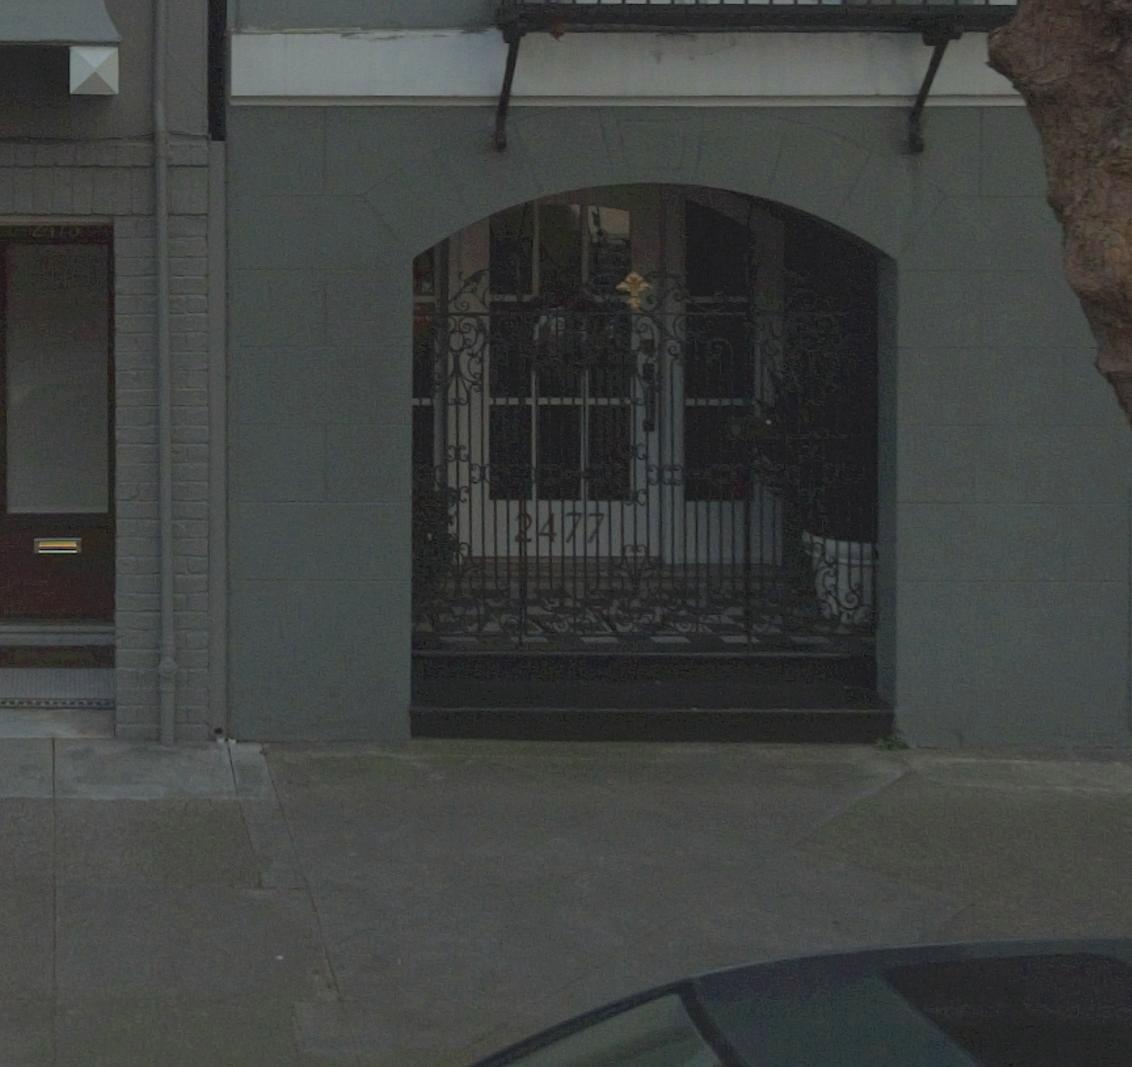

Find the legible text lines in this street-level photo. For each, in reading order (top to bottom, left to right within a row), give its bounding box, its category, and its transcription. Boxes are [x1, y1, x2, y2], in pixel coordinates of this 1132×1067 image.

[512, 509, 606, 545] StreetNumber: *477